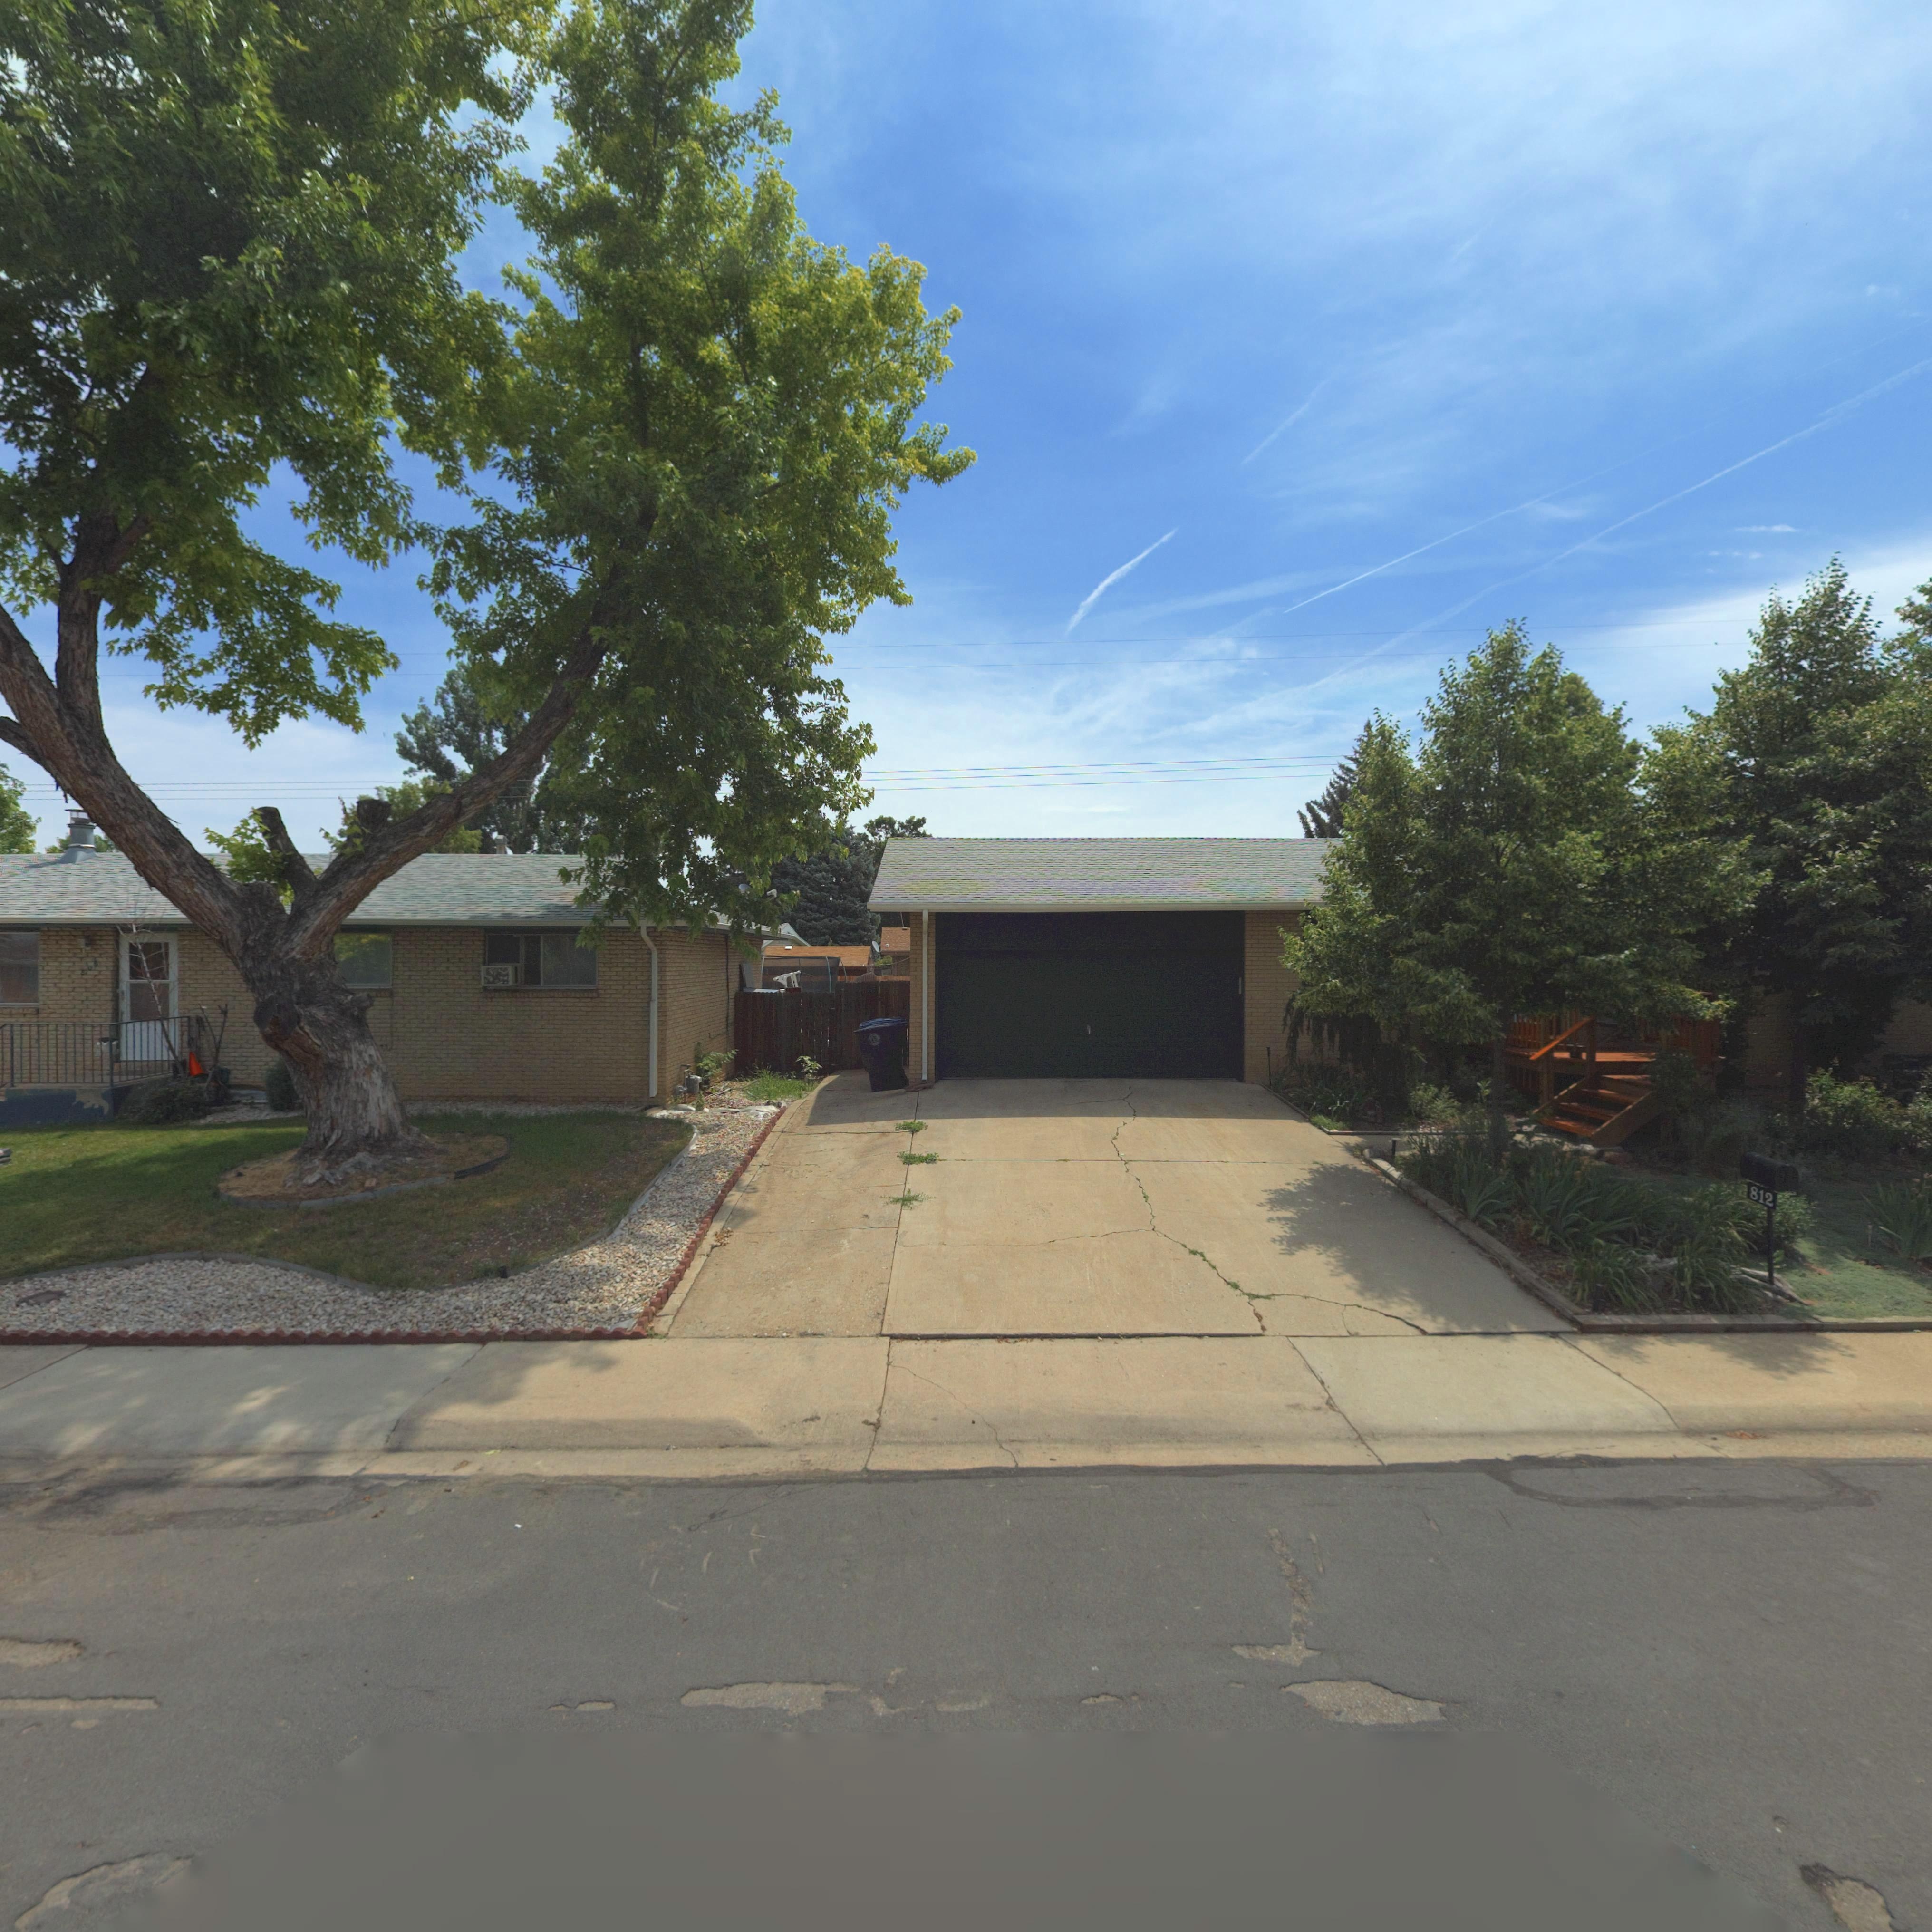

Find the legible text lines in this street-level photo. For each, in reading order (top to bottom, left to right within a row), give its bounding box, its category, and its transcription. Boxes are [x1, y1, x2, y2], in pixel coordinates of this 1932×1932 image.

[80, 959, 98, 976] StreetNumber: *08
[1749, 1185, 1775, 1207] StreetNumber: 812